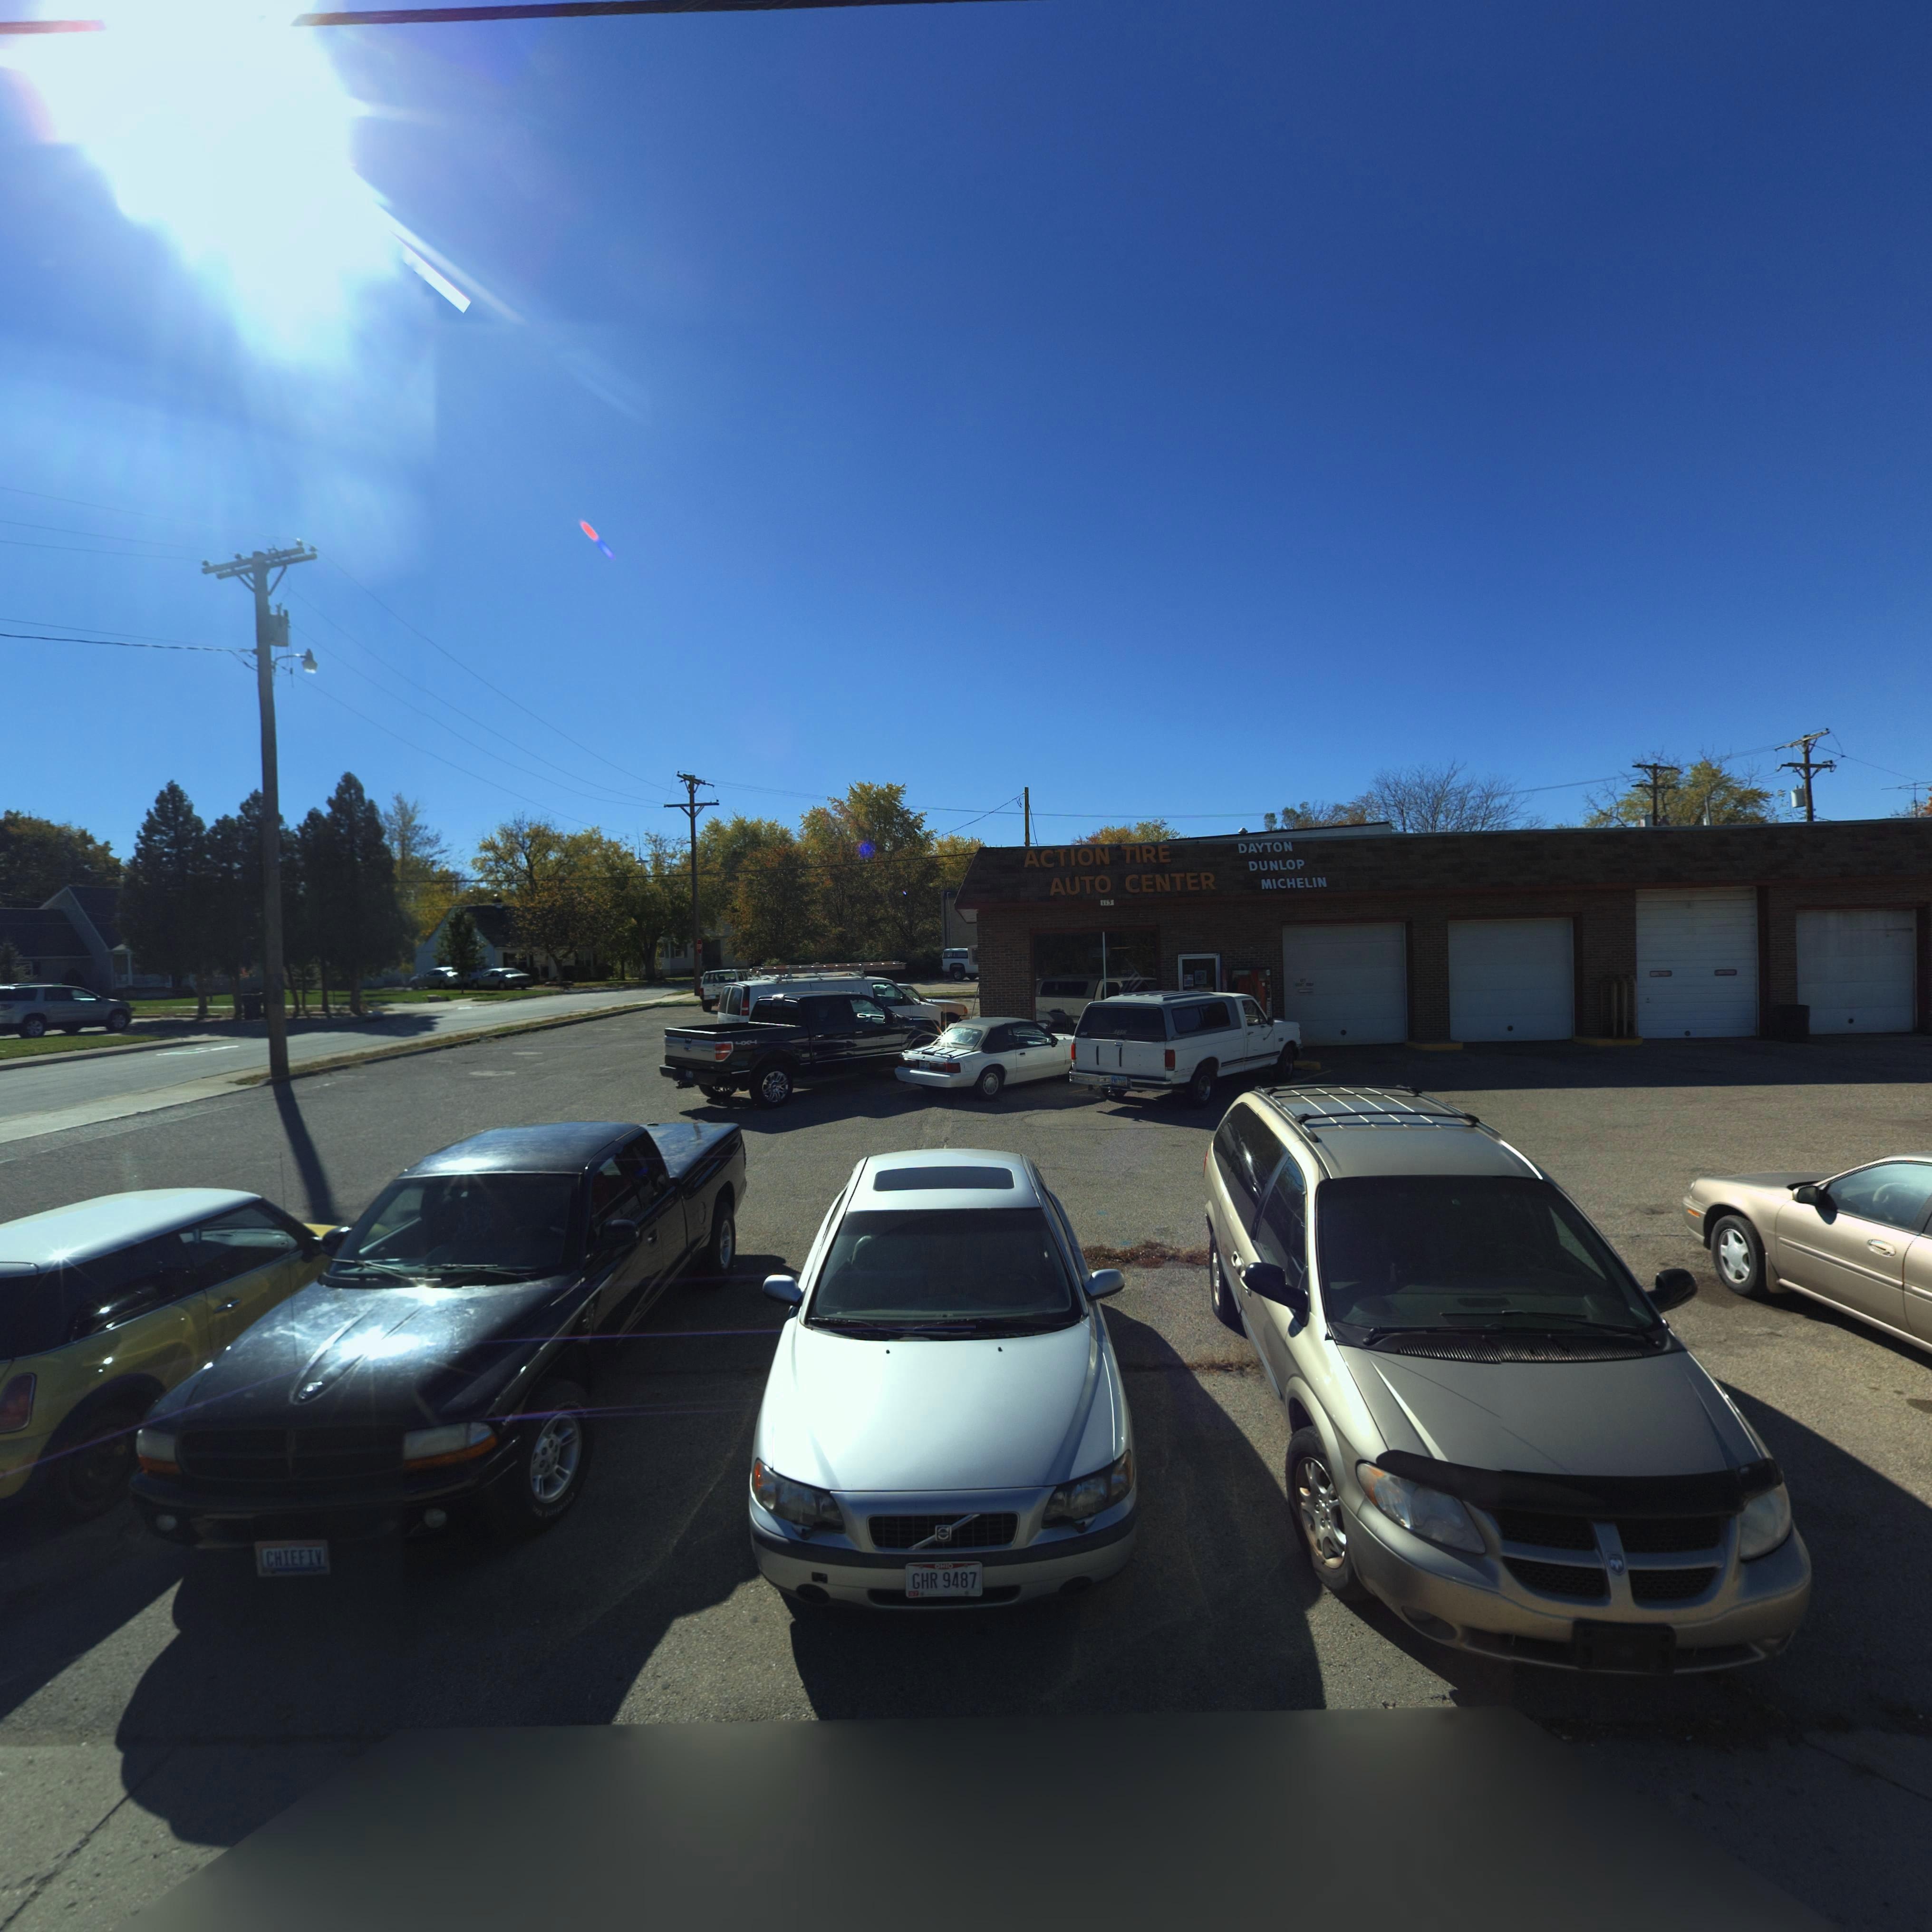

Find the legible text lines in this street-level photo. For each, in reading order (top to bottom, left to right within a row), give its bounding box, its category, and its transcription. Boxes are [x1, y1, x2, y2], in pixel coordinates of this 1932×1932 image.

[1237, 840, 1294, 855] None: DAYTON
[1022, 843, 1172, 869] BusinessName: ACTION TIRE
[1247, 858, 1306, 872] None: DUNLOP
[1047, 871, 1217, 897] BusinessName: AUTO CENTER
[1260, 876, 1328, 890] None: MICHELIN
[1101, 898, 1113, 907] StreetNumber: 115
[734, 1039, 758, 1046] None: 4x4
[264, 1548, 324, 1568] None: CHIEFIV
[934, 1563, 954, 1569] None: OHIO
[912, 1571, 978, 1590] None: GHR*9487